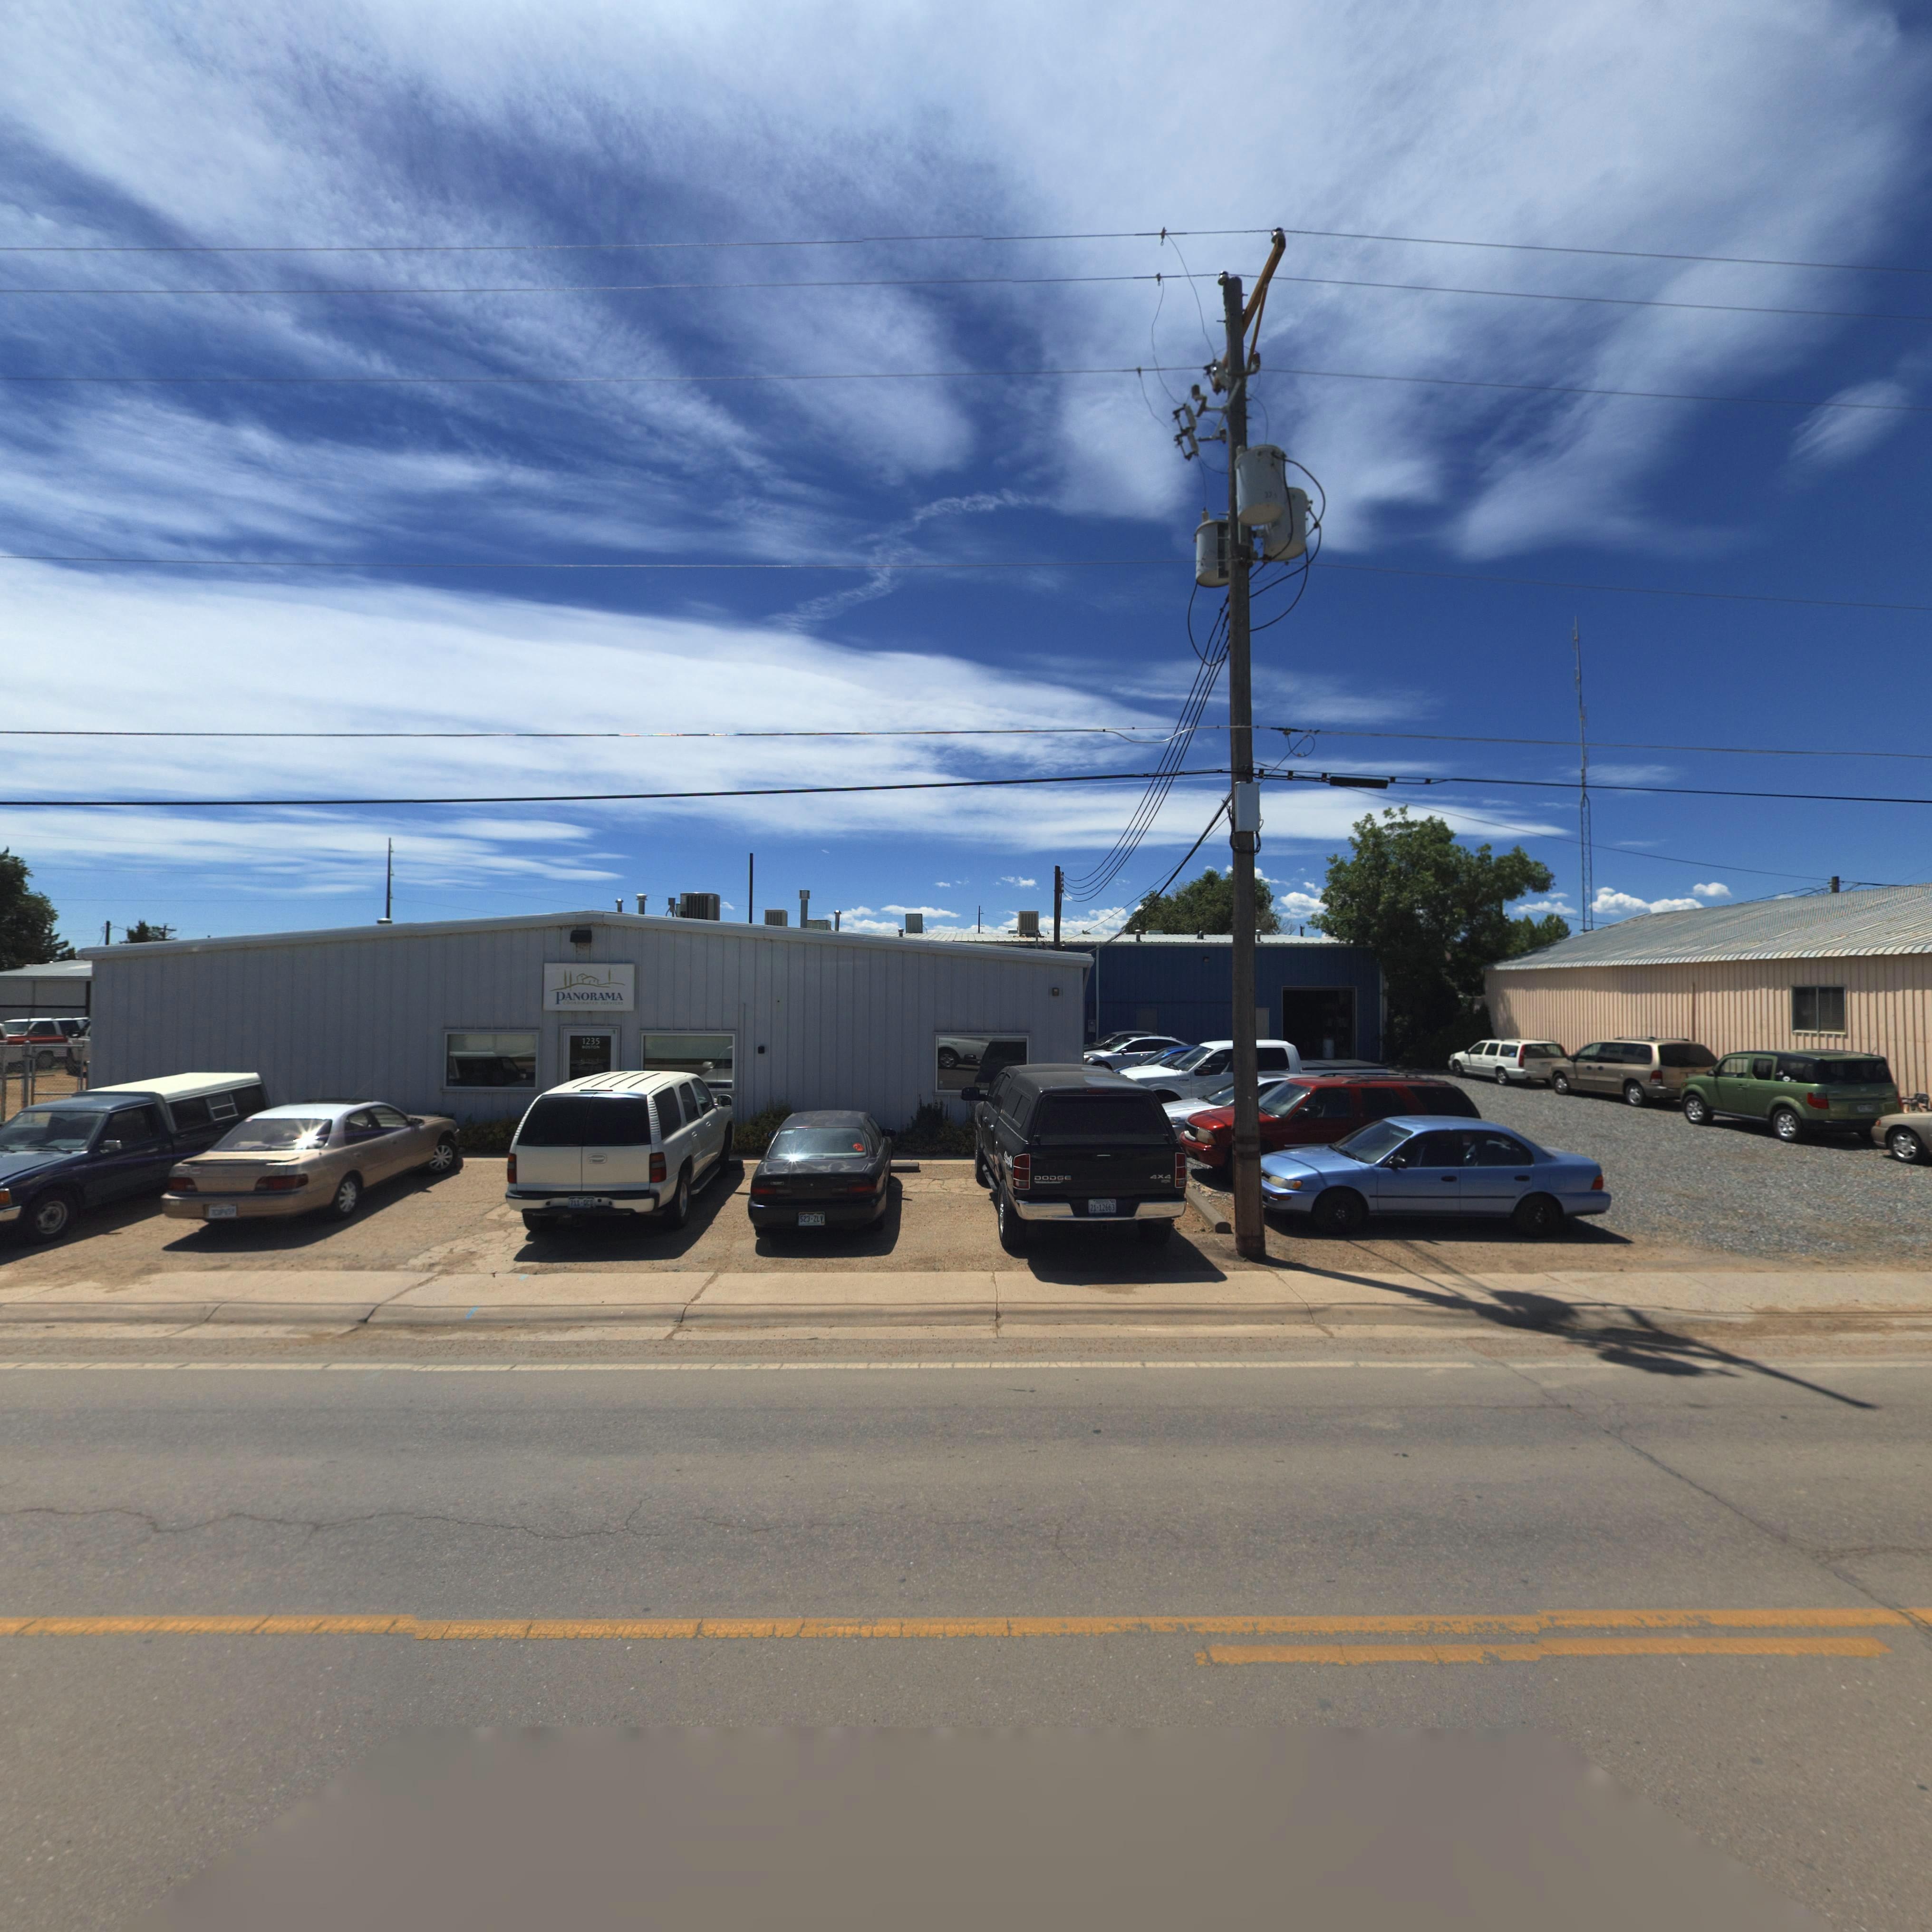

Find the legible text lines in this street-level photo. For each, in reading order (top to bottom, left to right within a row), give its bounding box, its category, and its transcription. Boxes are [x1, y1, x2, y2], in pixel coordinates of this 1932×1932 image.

[555, 991, 624, 1005] BusinessName: PANORAMA
[562, 1001, 623, 1005] BusinessName: COORDINATED S*RVICES
[581, 1036, 600, 1045] StreetNumber: 1235
[582, 1045, 599, 1049] StreetName: BOSTON